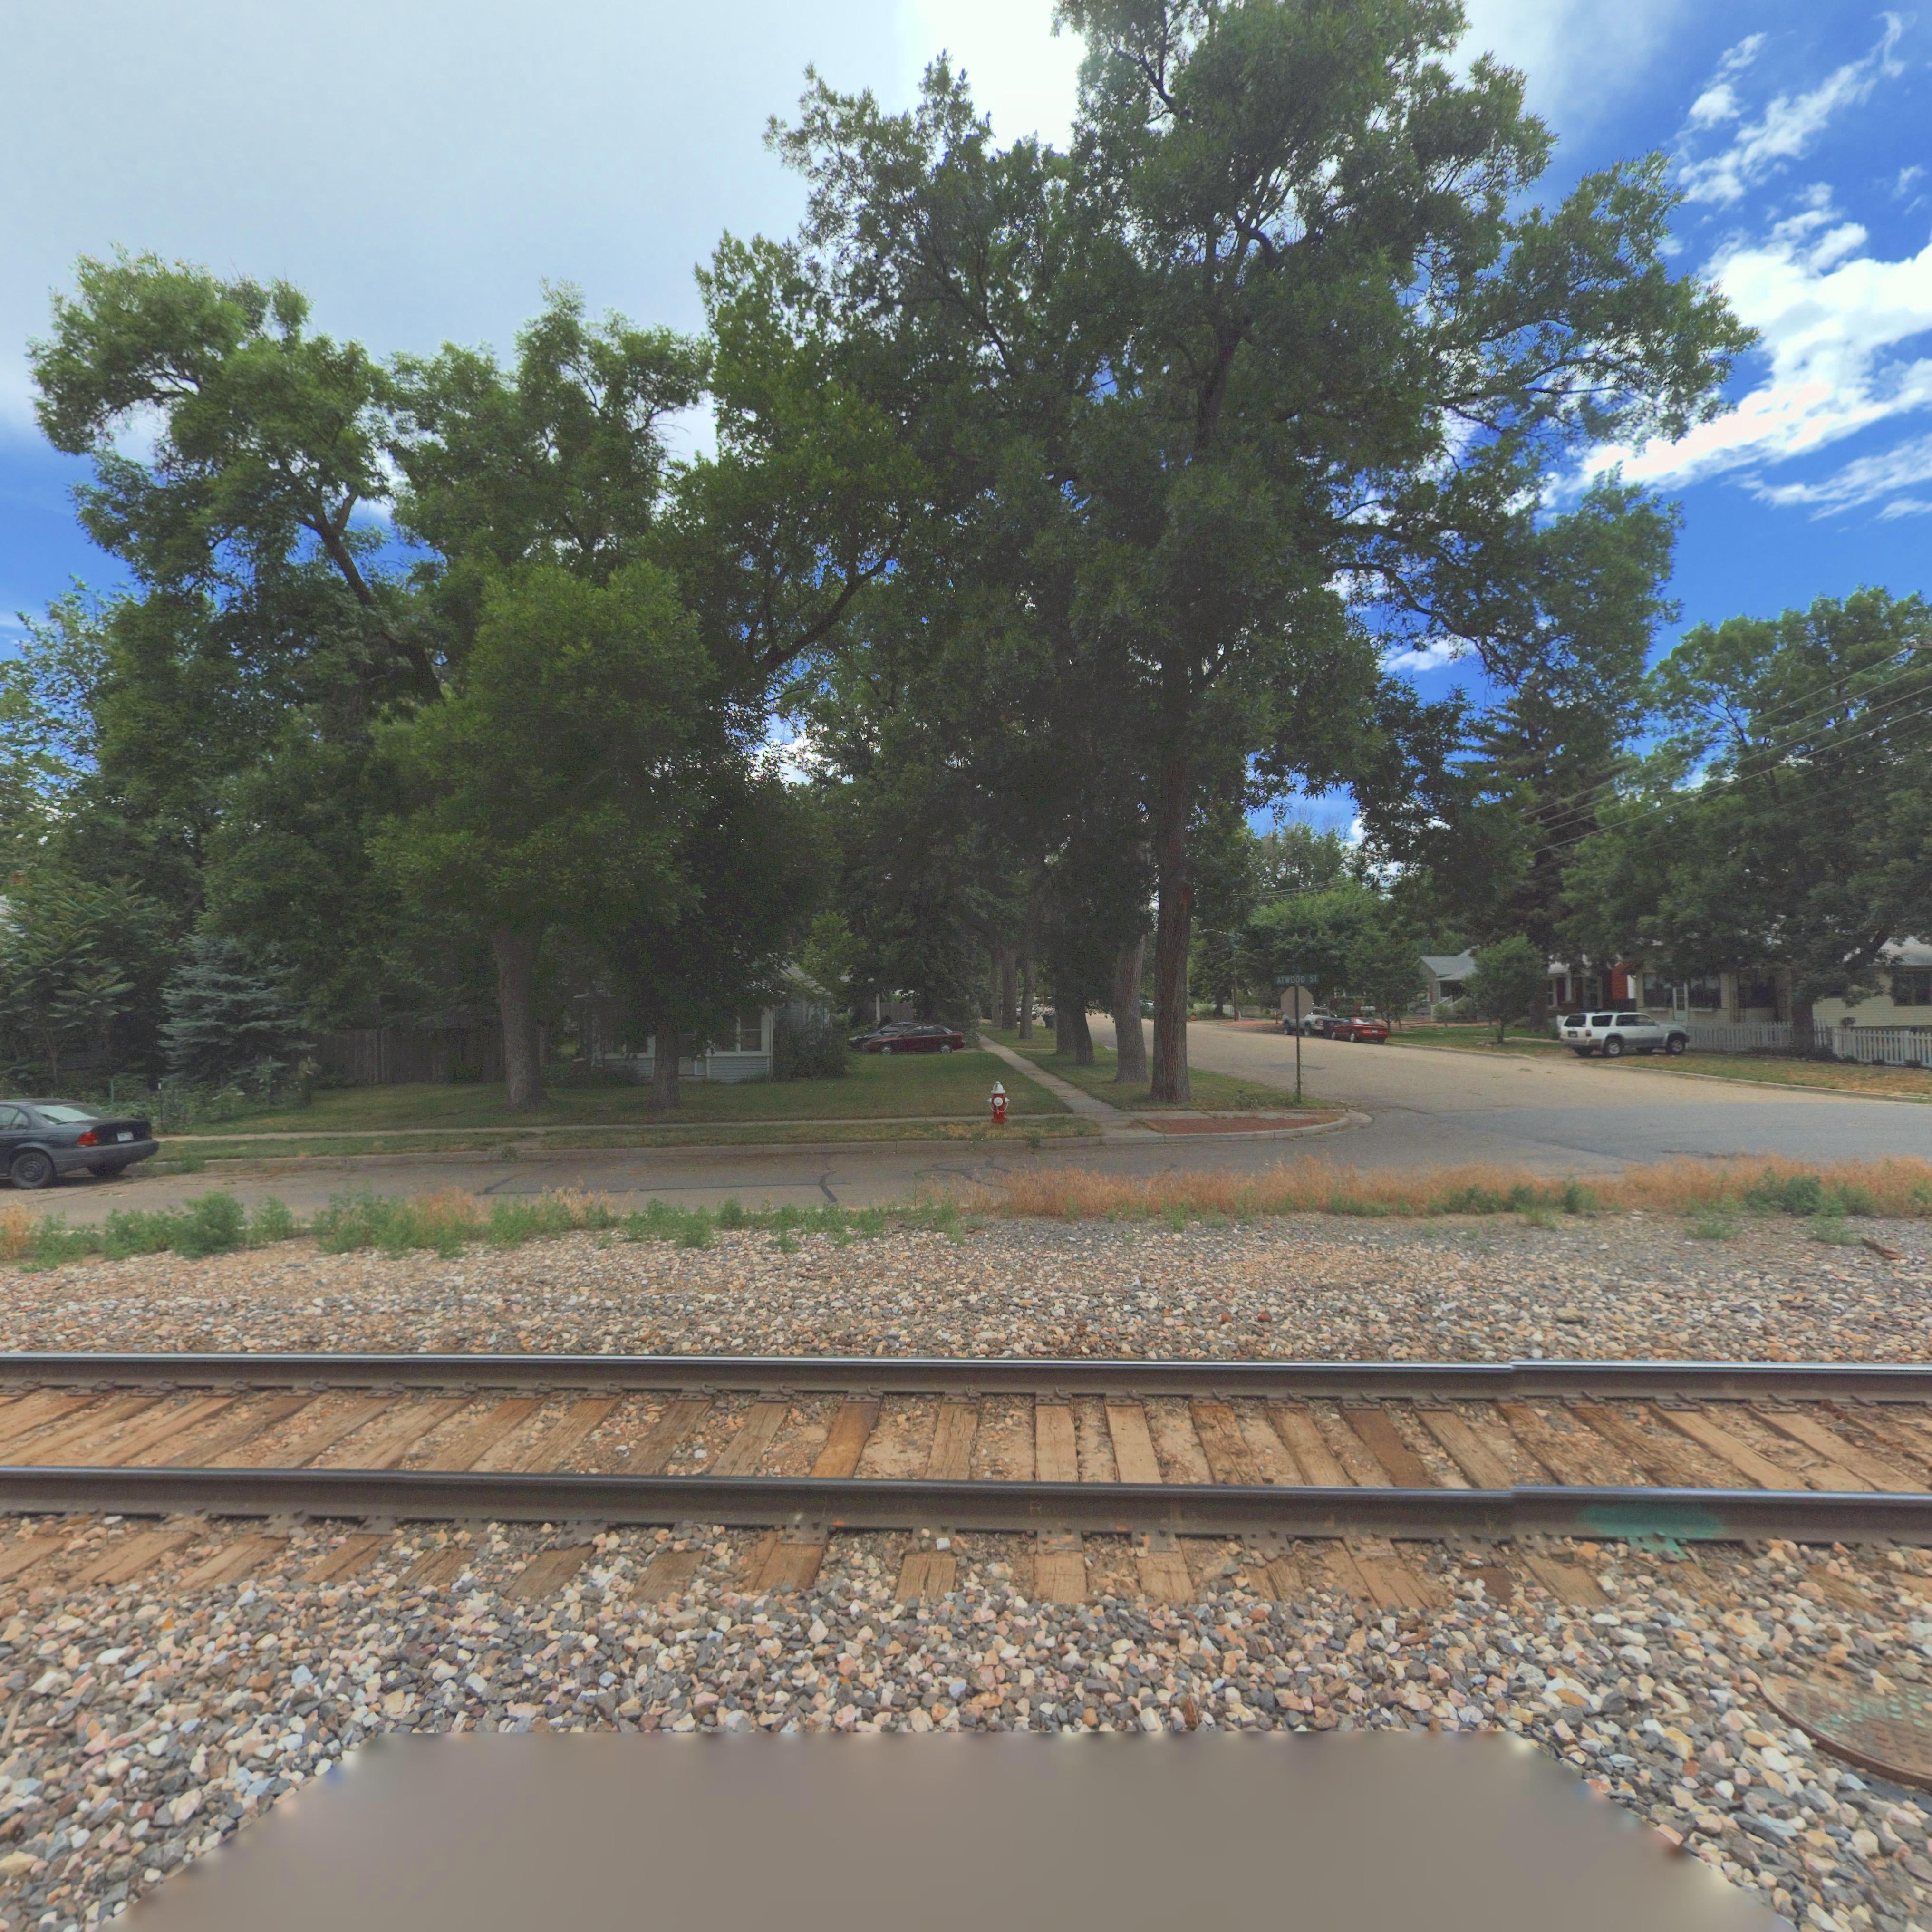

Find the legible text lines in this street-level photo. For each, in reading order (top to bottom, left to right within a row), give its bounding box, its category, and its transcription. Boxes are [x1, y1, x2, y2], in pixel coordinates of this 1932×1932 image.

[1276, 975, 1318, 984] StreetName: ATWOOD ST